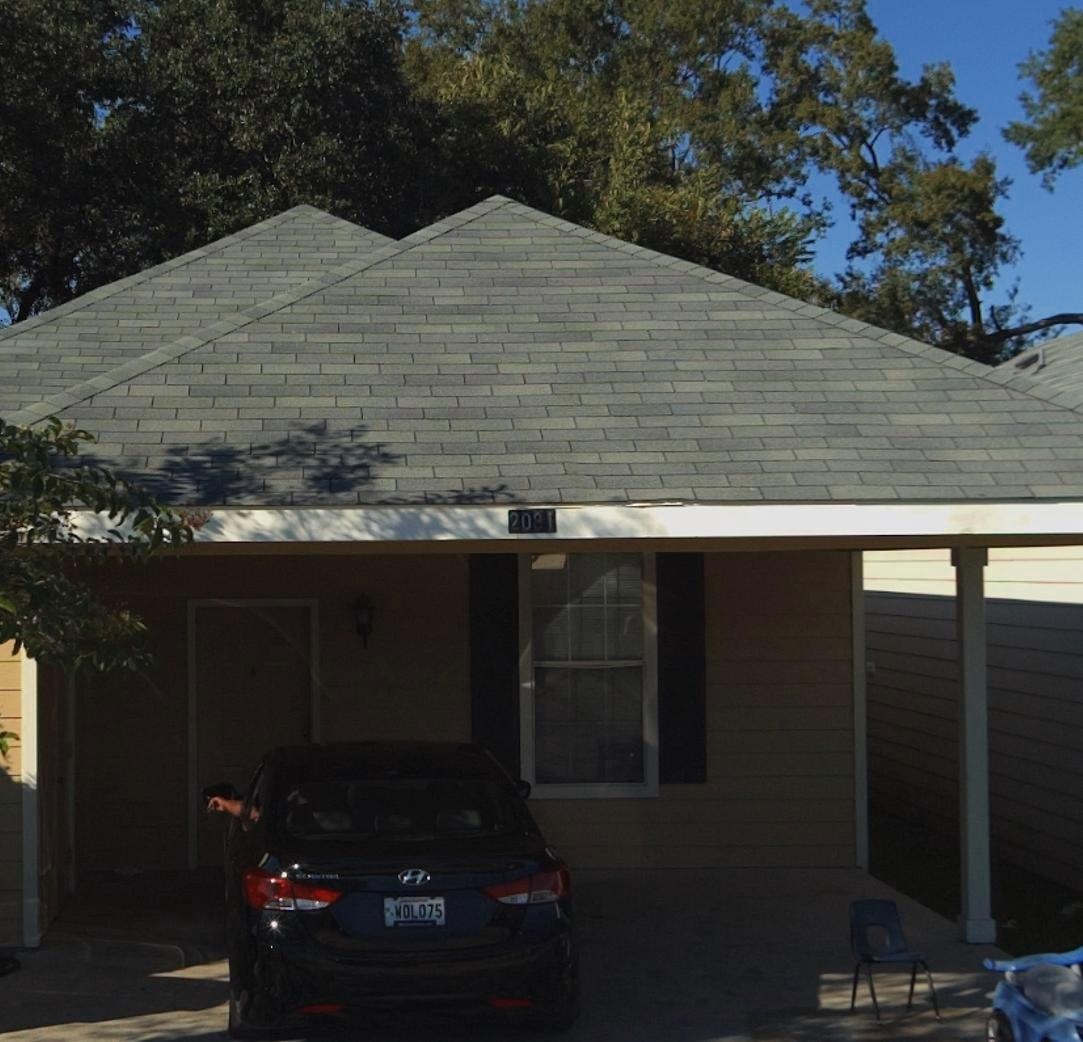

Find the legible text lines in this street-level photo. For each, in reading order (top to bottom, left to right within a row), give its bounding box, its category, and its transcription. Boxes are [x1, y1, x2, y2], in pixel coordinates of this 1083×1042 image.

[510, 511, 555, 532] StreetNumber: 2081
[393, 902, 445, 921] None: WOL075